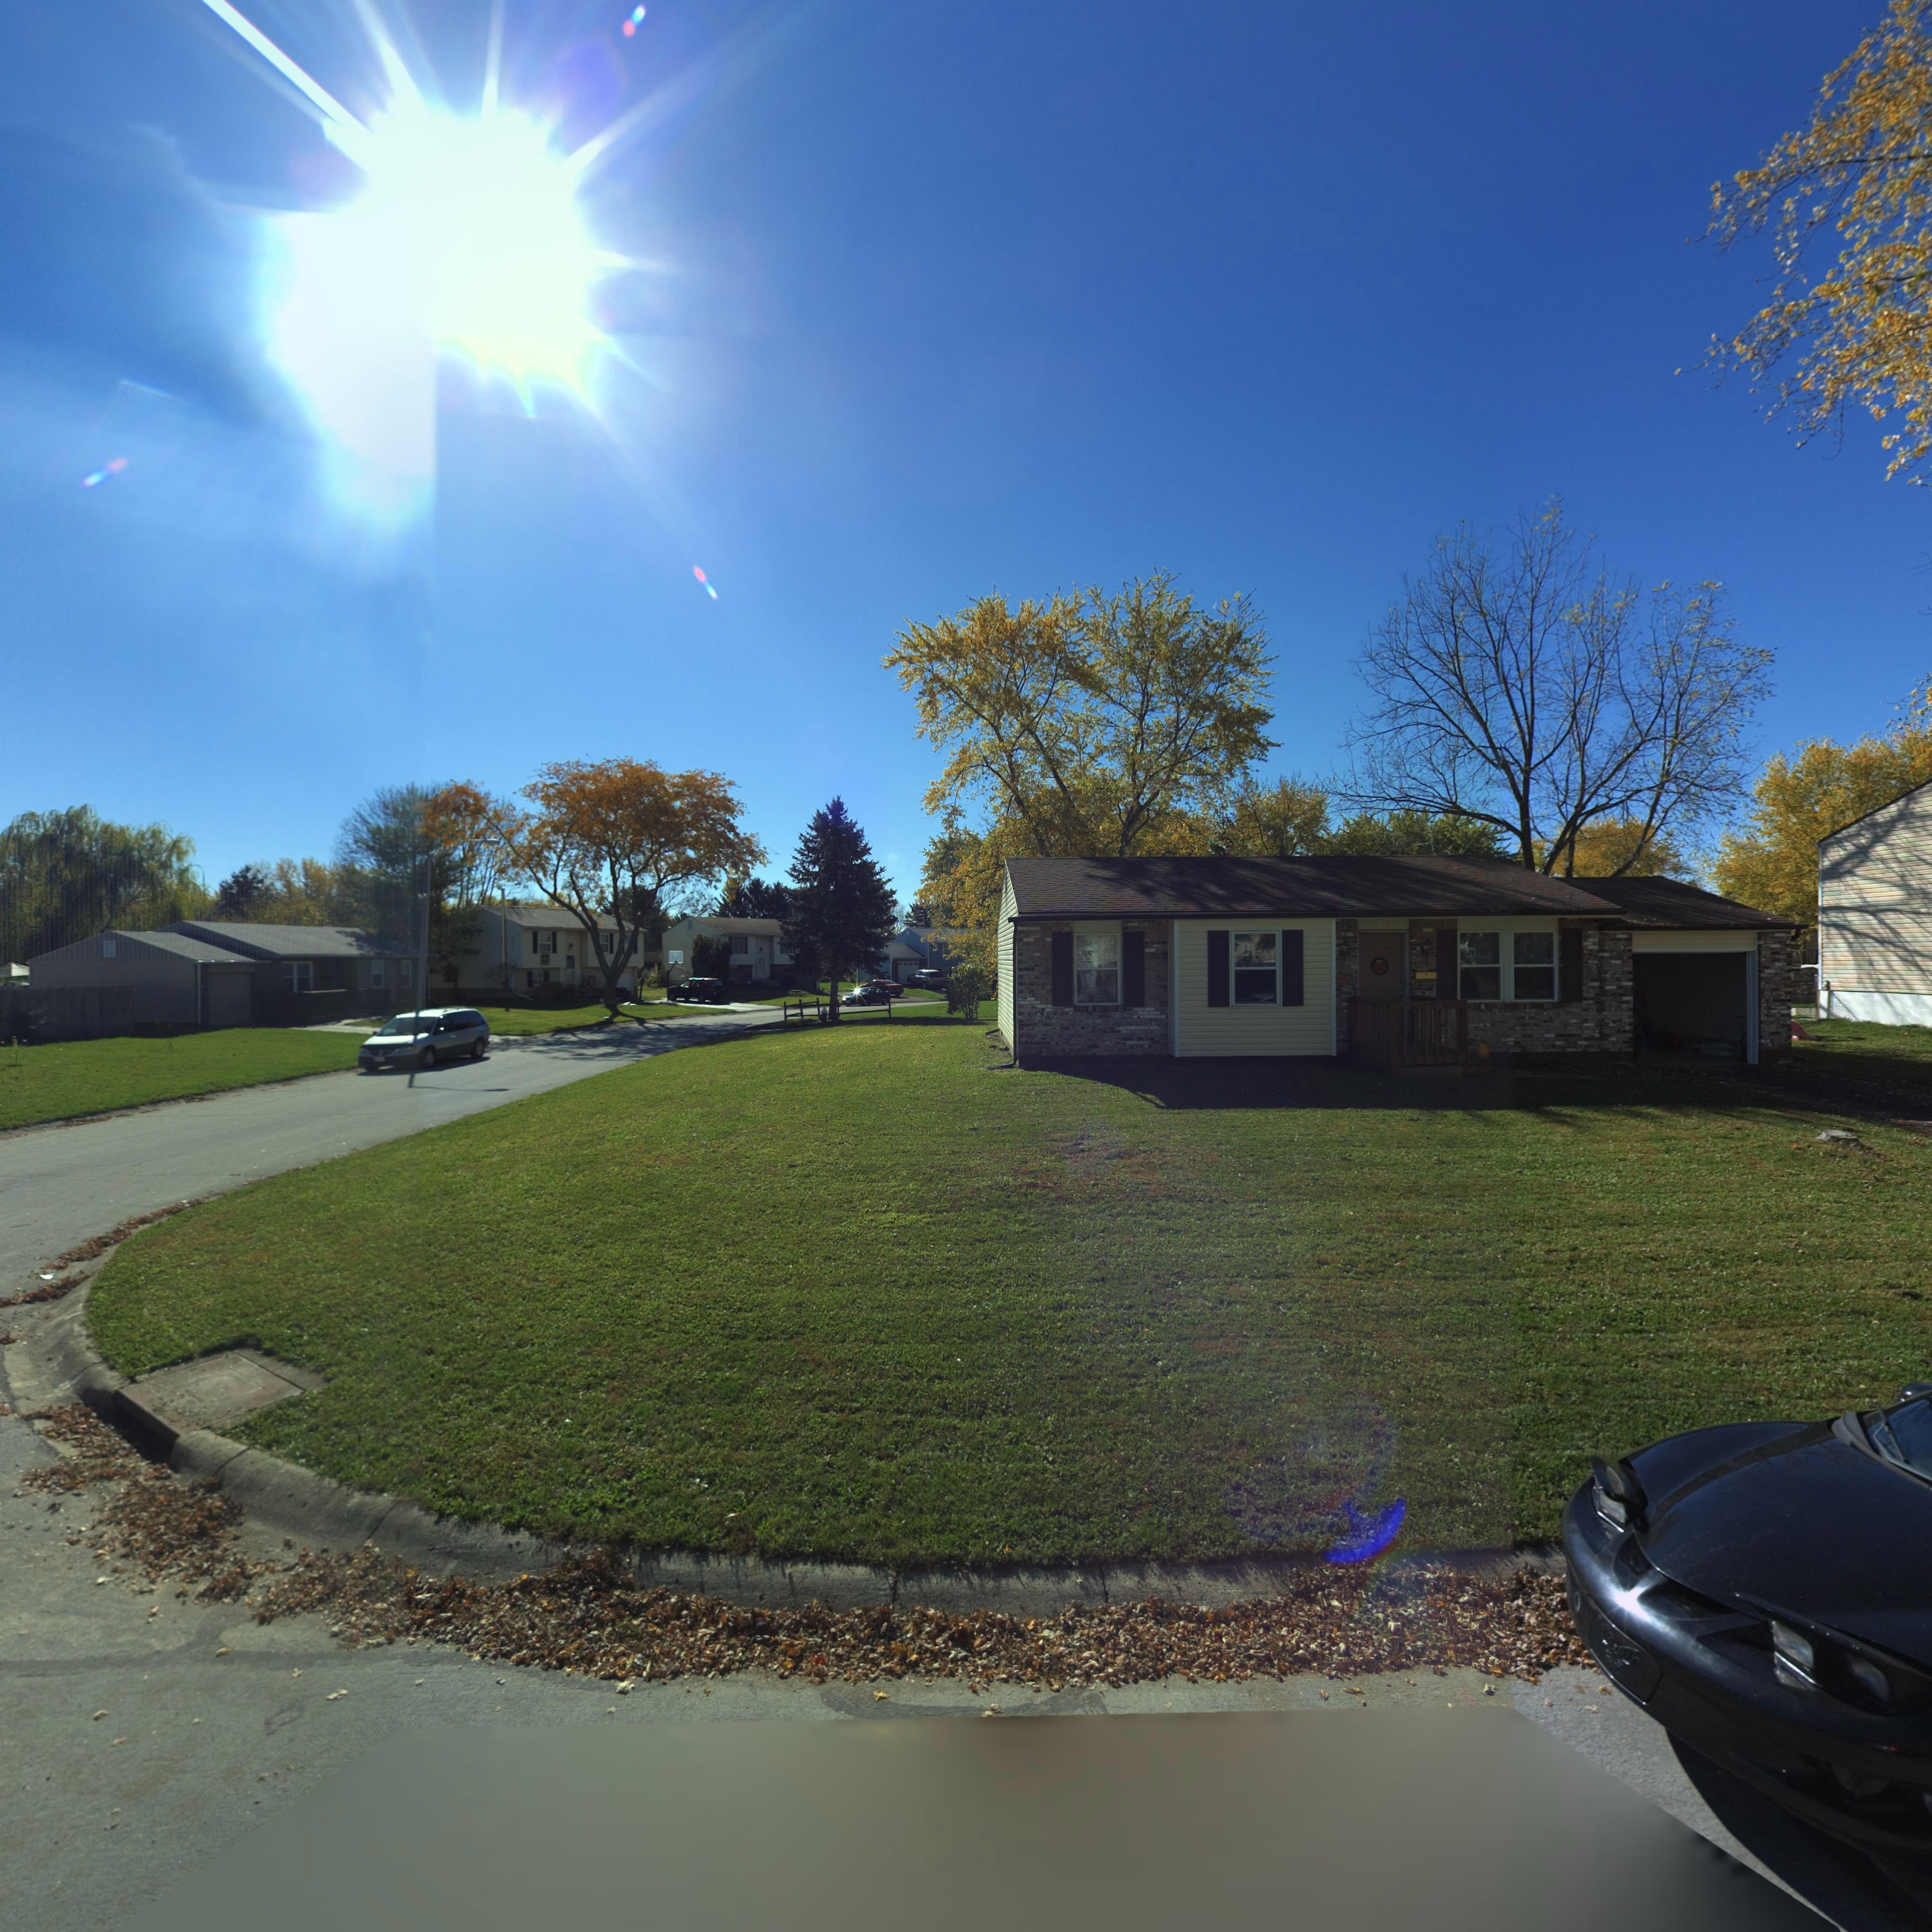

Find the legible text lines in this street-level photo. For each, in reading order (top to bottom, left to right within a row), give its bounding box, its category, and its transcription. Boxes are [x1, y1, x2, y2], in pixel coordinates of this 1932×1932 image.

[1374, 920, 1390, 929] StreetNumber: 703